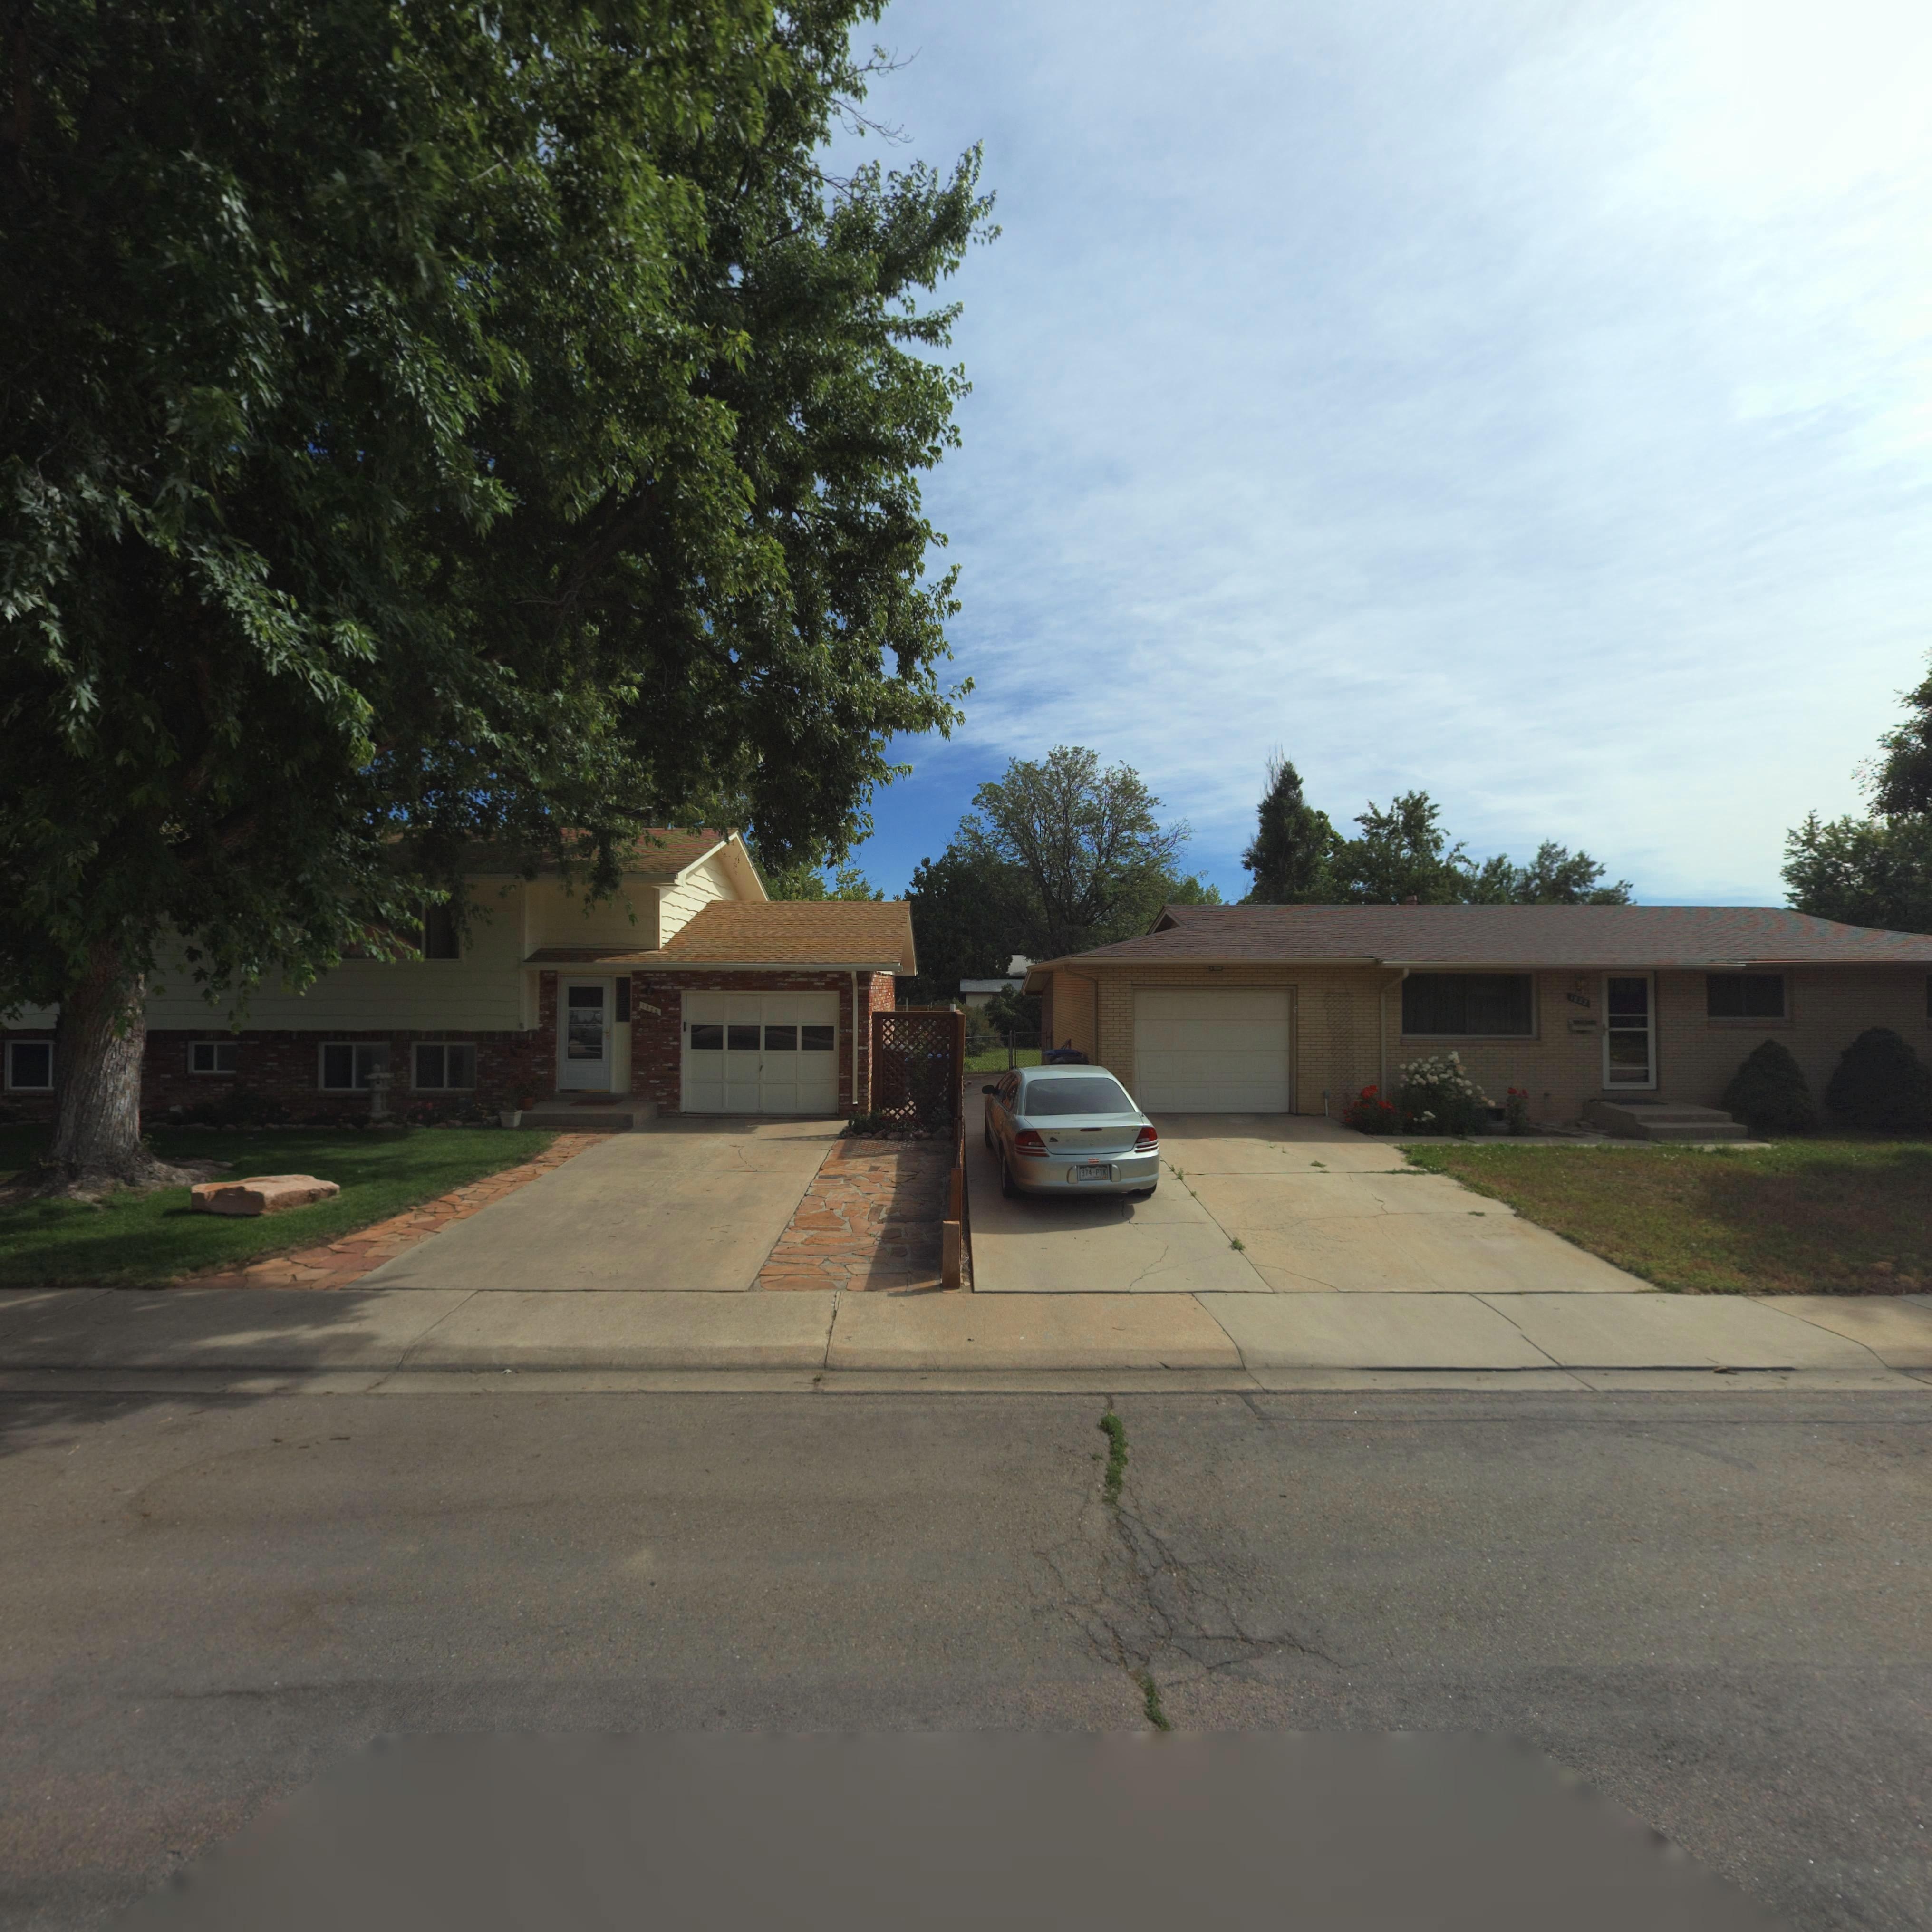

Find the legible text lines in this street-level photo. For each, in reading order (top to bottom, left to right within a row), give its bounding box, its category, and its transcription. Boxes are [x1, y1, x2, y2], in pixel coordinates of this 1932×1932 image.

[1568, 994, 1588, 1006] StreetNumber: 1**2
[642, 1002, 658, 1015] StreetNumber: 1*2*